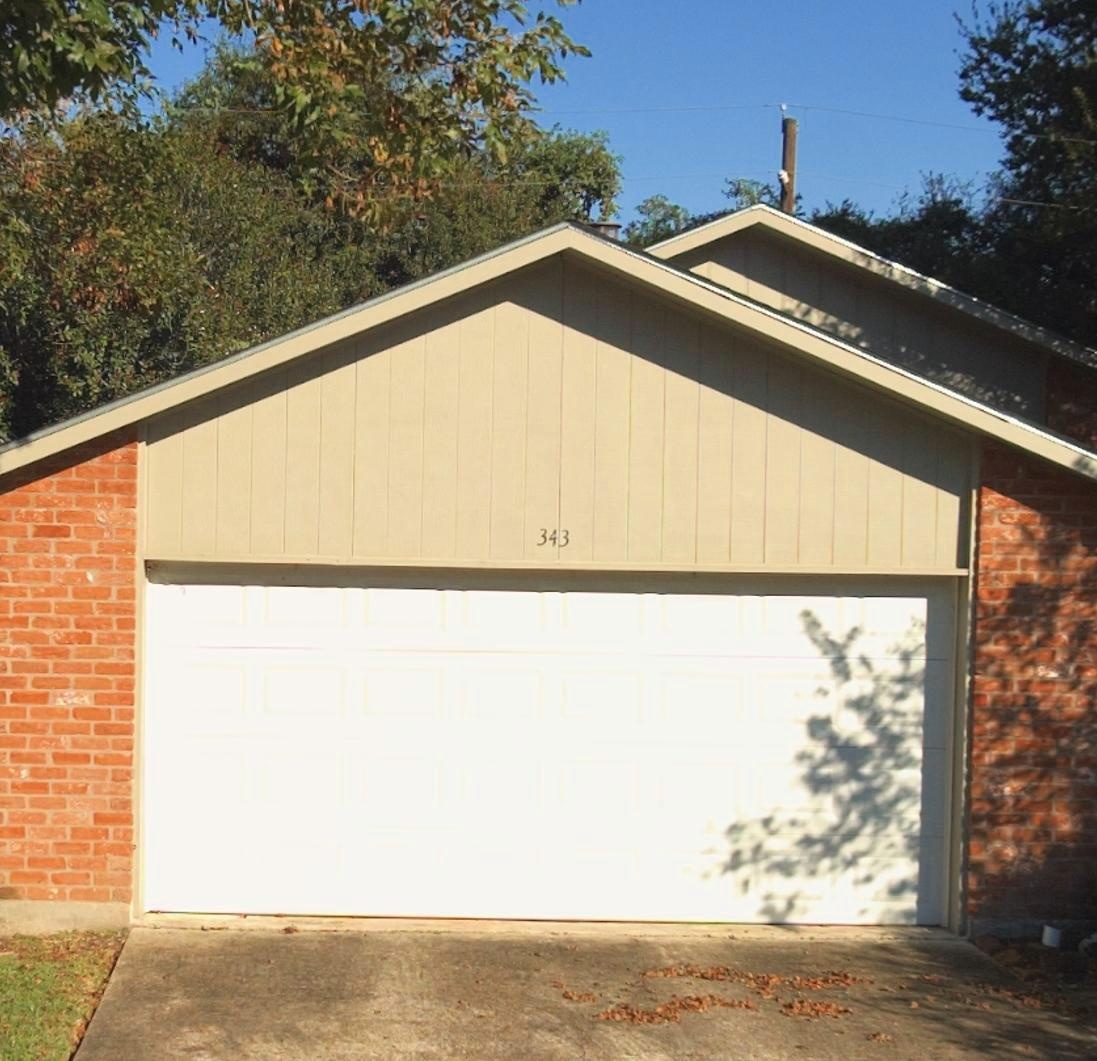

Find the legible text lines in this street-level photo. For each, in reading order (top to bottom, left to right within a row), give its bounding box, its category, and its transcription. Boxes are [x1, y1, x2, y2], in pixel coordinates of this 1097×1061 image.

[534, 526, 571, 548] StreetNumber: 343